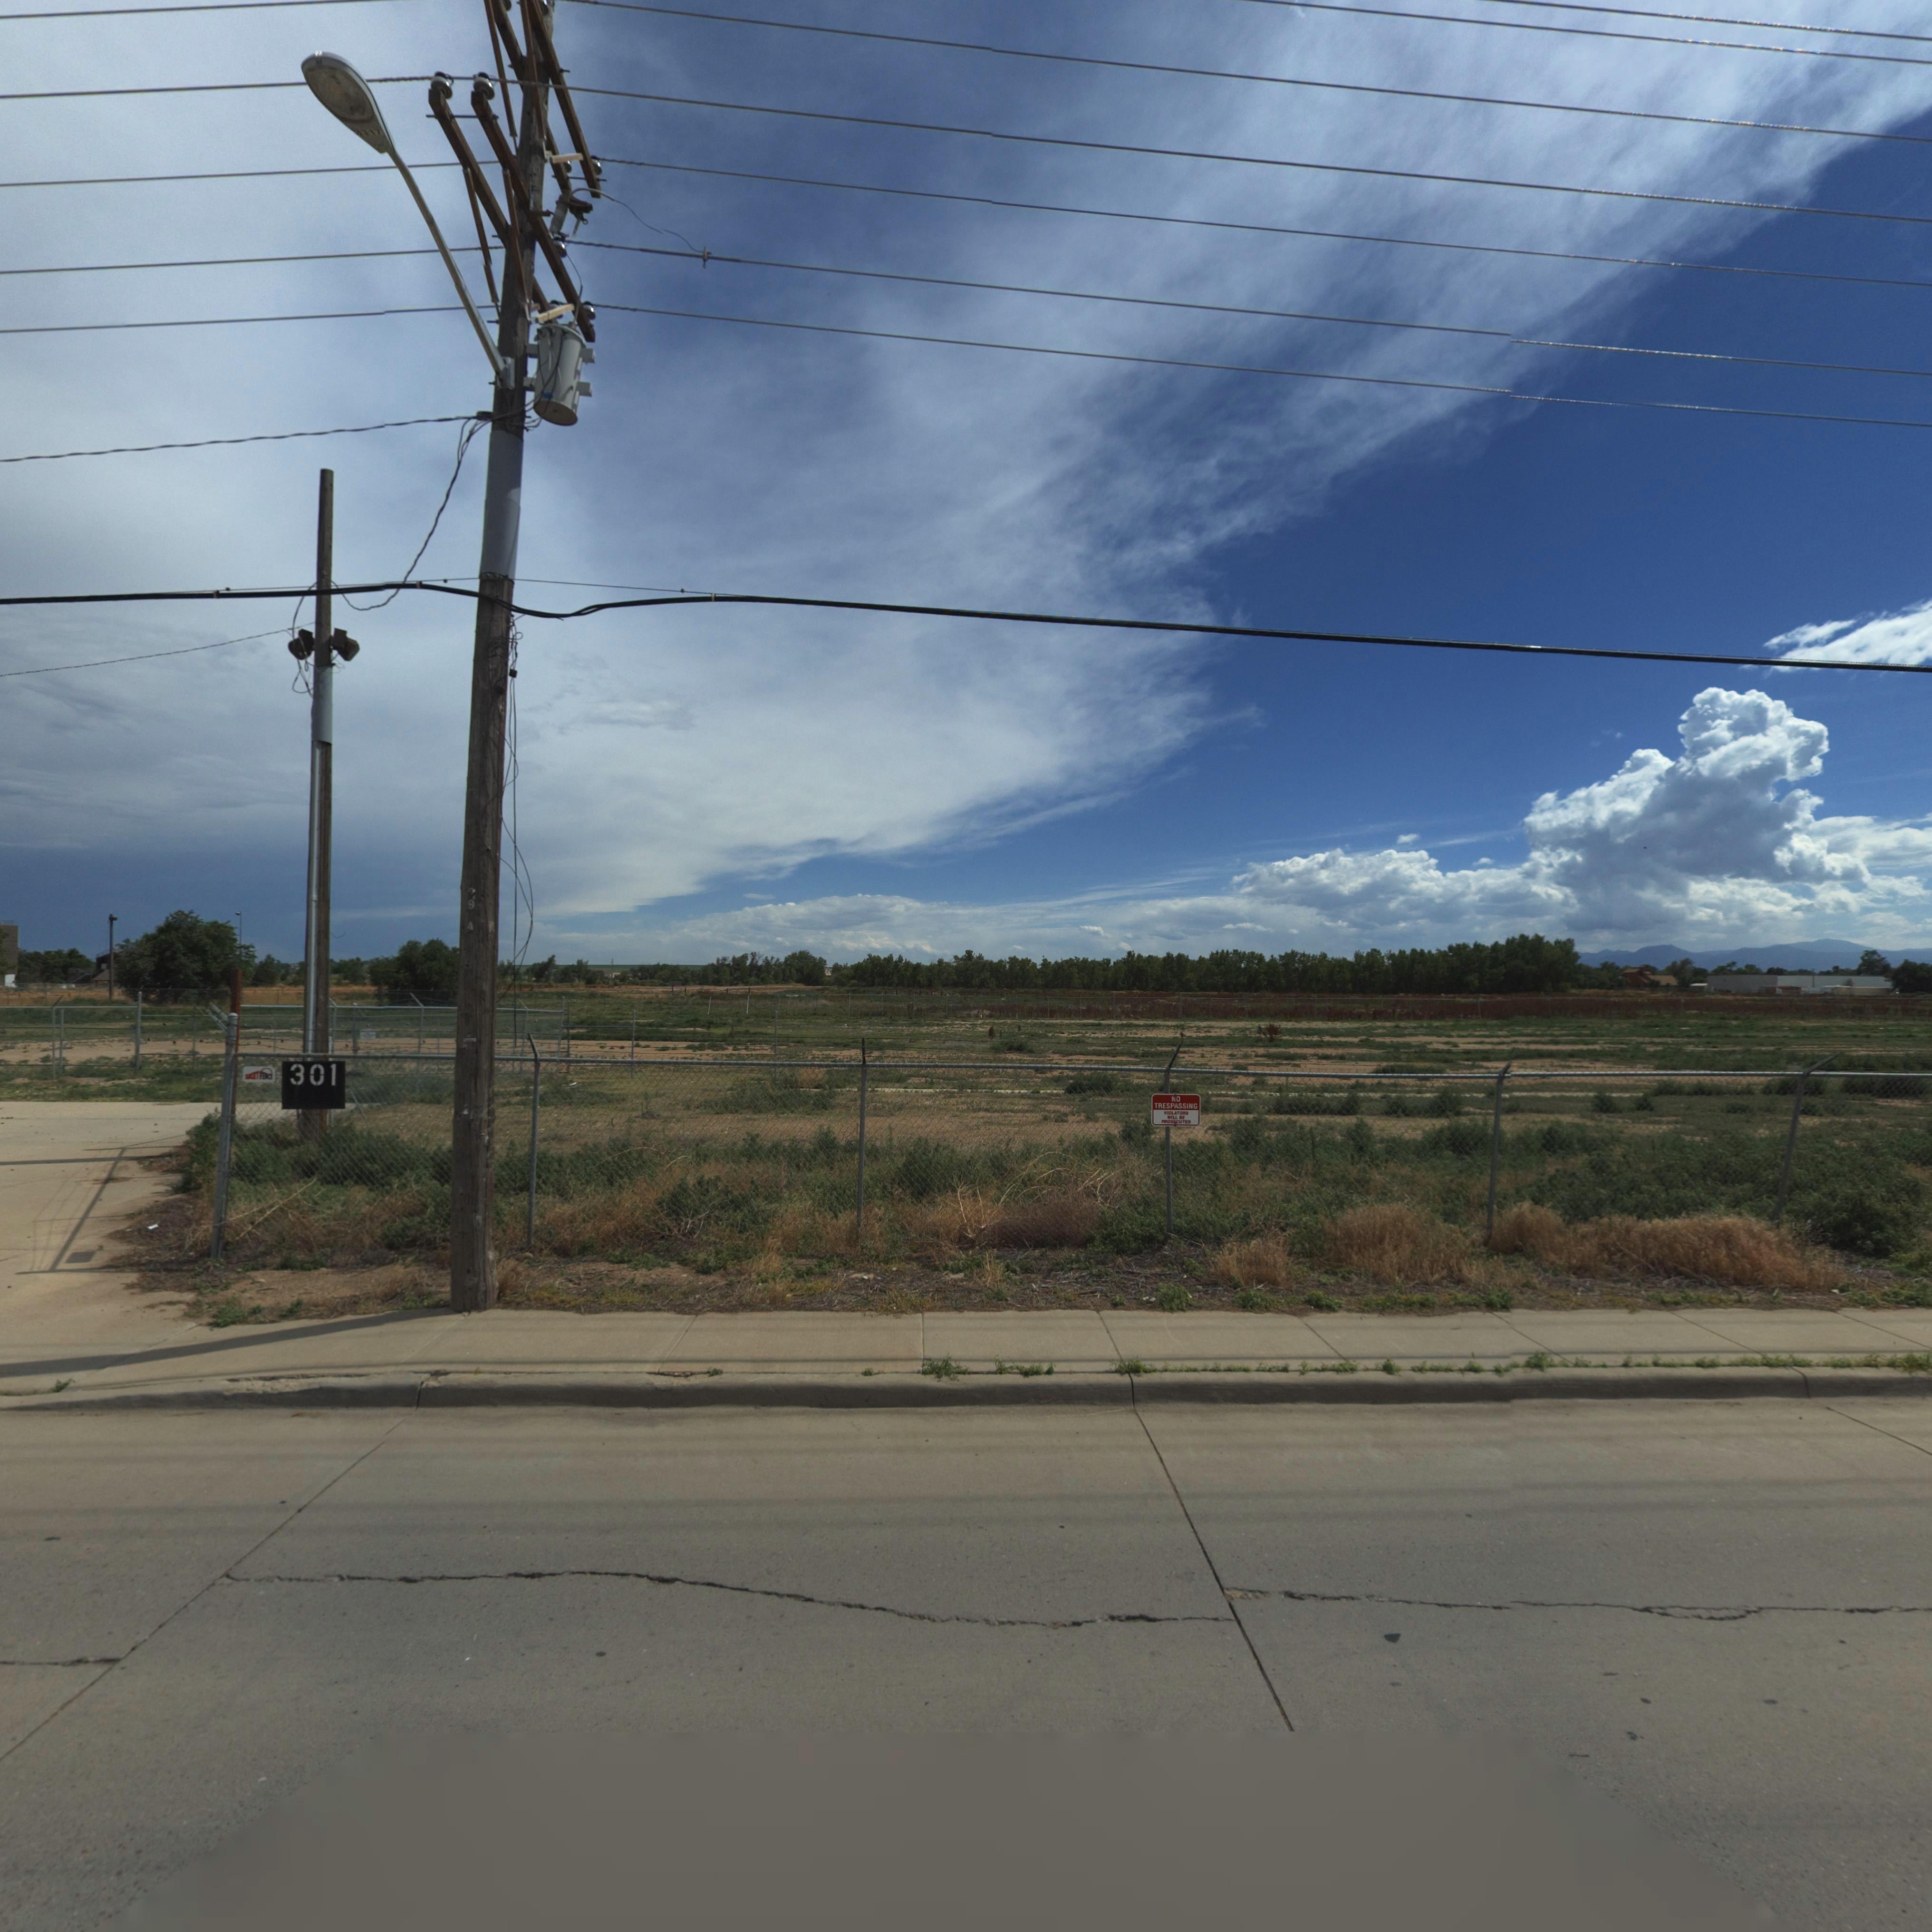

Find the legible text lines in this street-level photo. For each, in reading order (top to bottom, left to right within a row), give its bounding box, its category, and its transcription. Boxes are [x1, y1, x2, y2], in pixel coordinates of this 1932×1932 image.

[289, 1063, 337, 1086] StreetNumber: 301